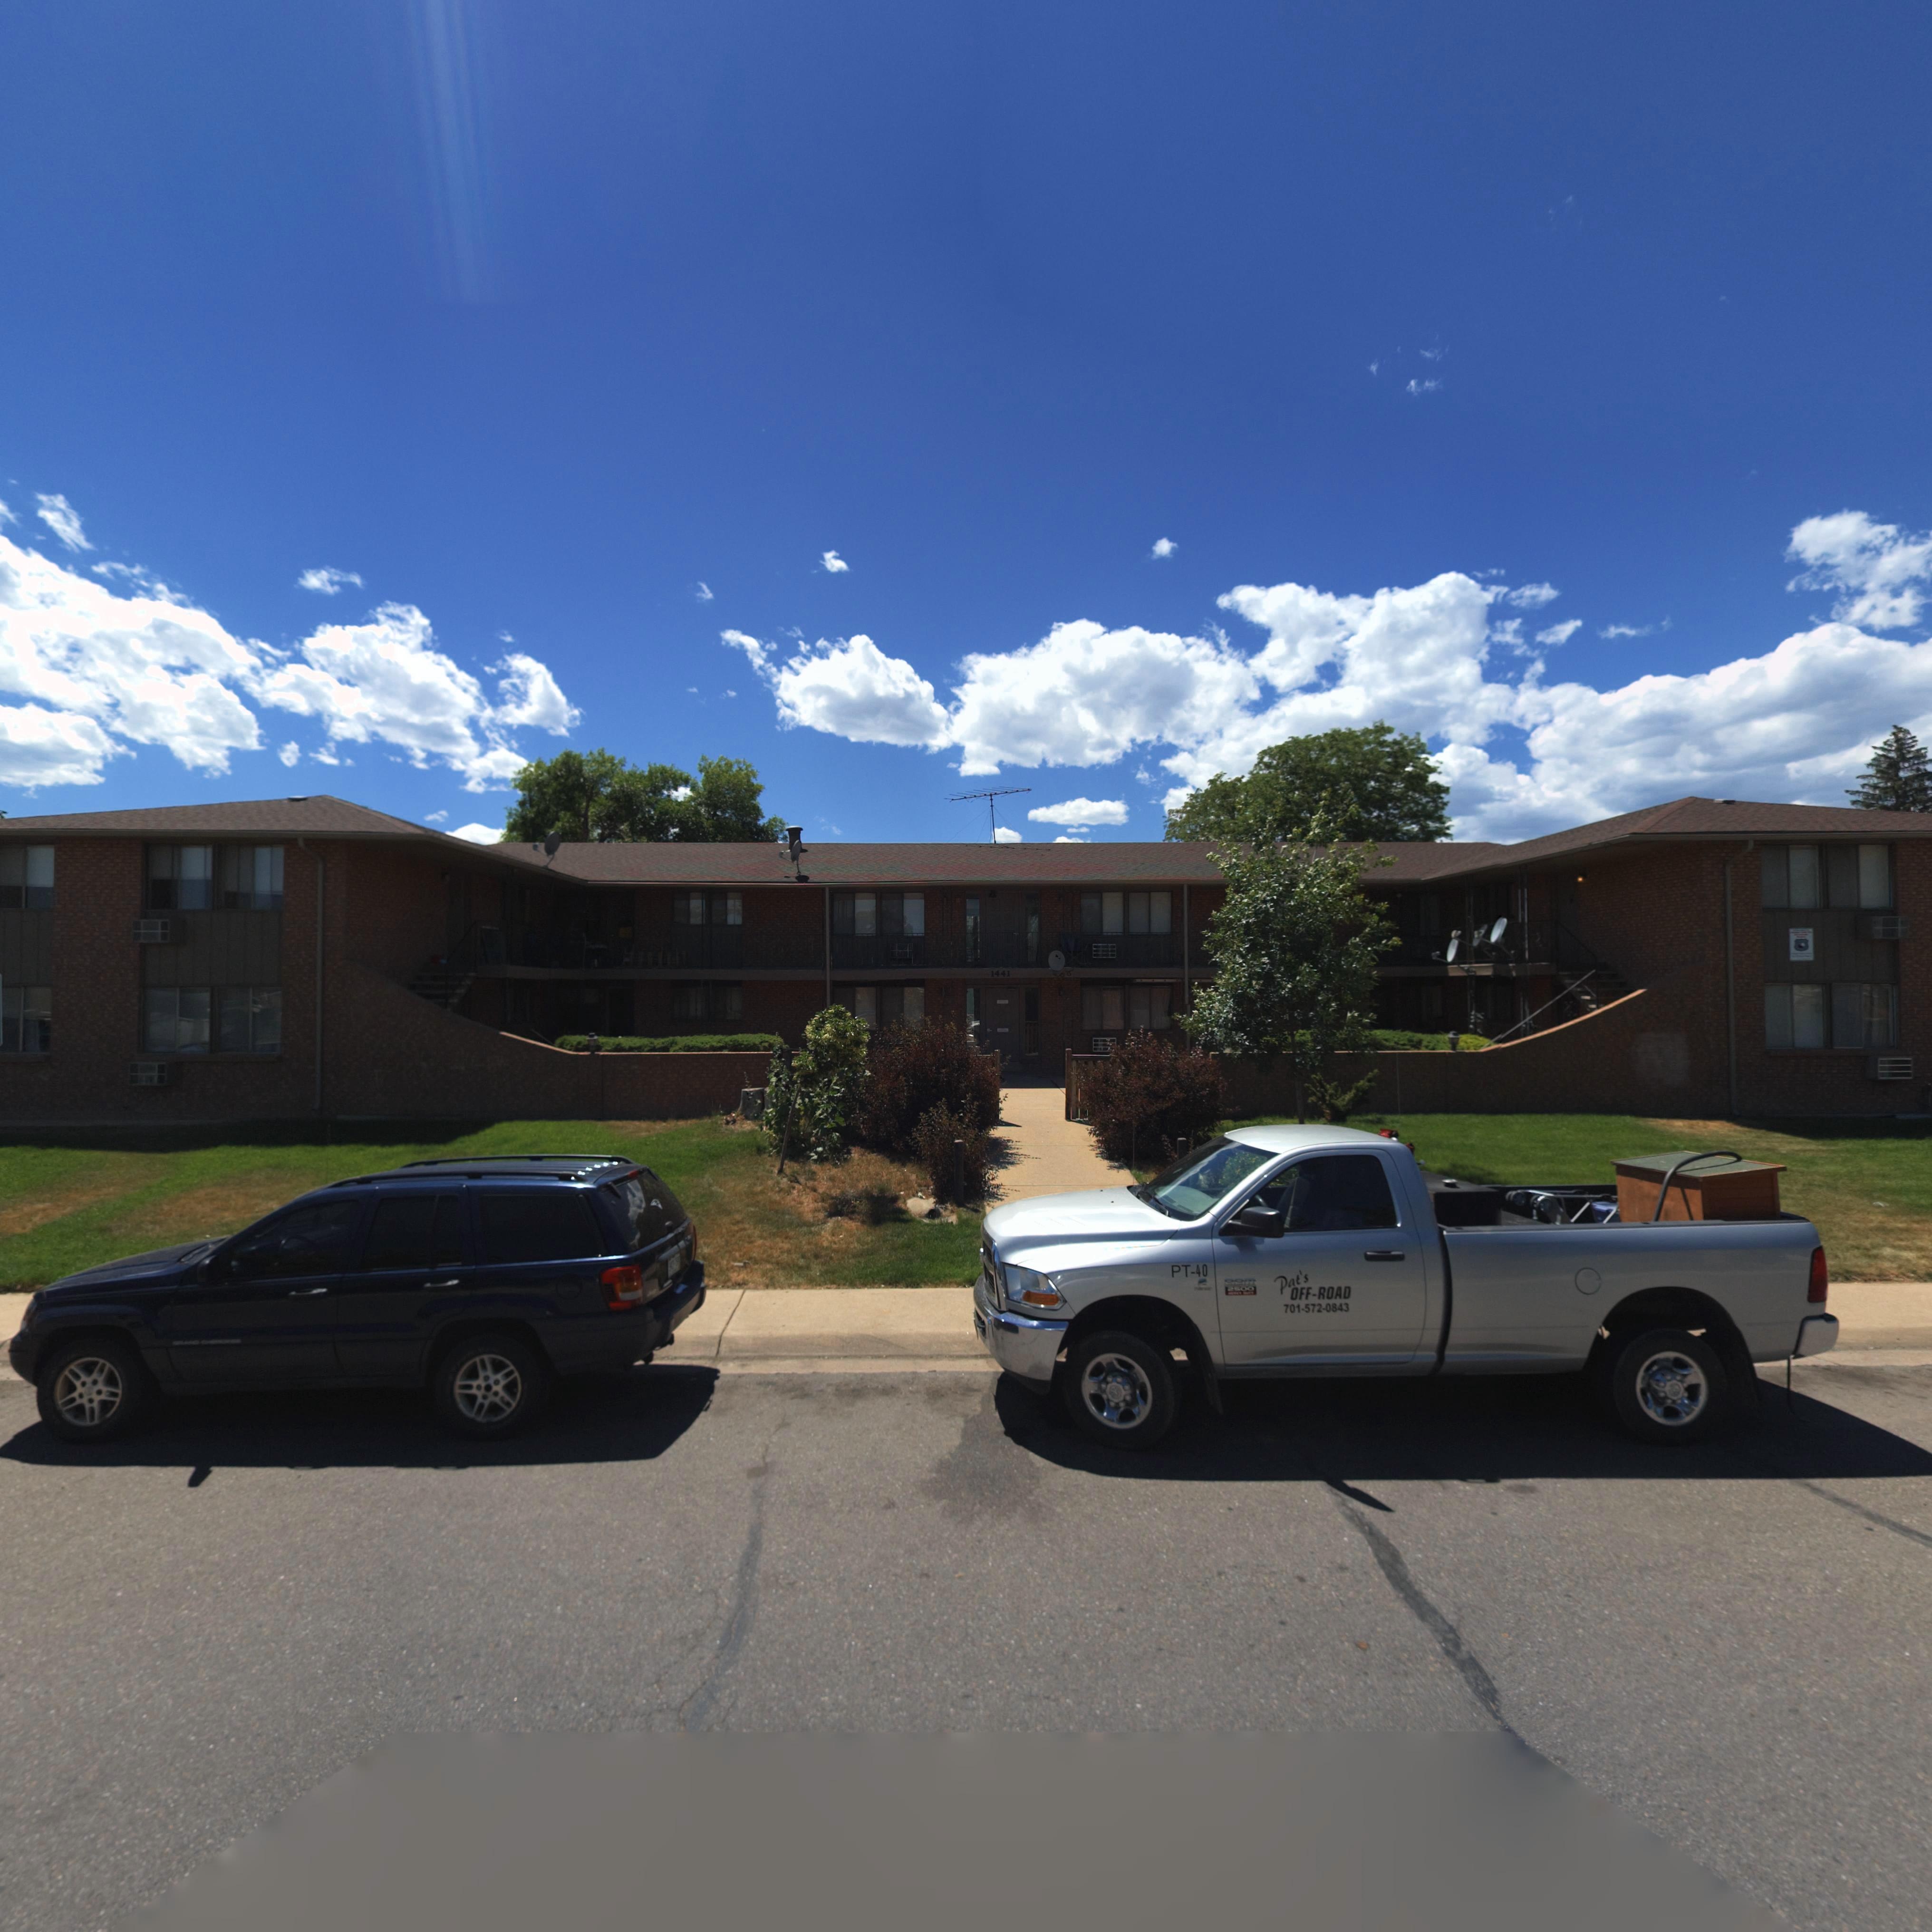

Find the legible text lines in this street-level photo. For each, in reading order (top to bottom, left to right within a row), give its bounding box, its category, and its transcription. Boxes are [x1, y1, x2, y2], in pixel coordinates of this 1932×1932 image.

[990, 969, 1010, 977] StreetNumber: 1441